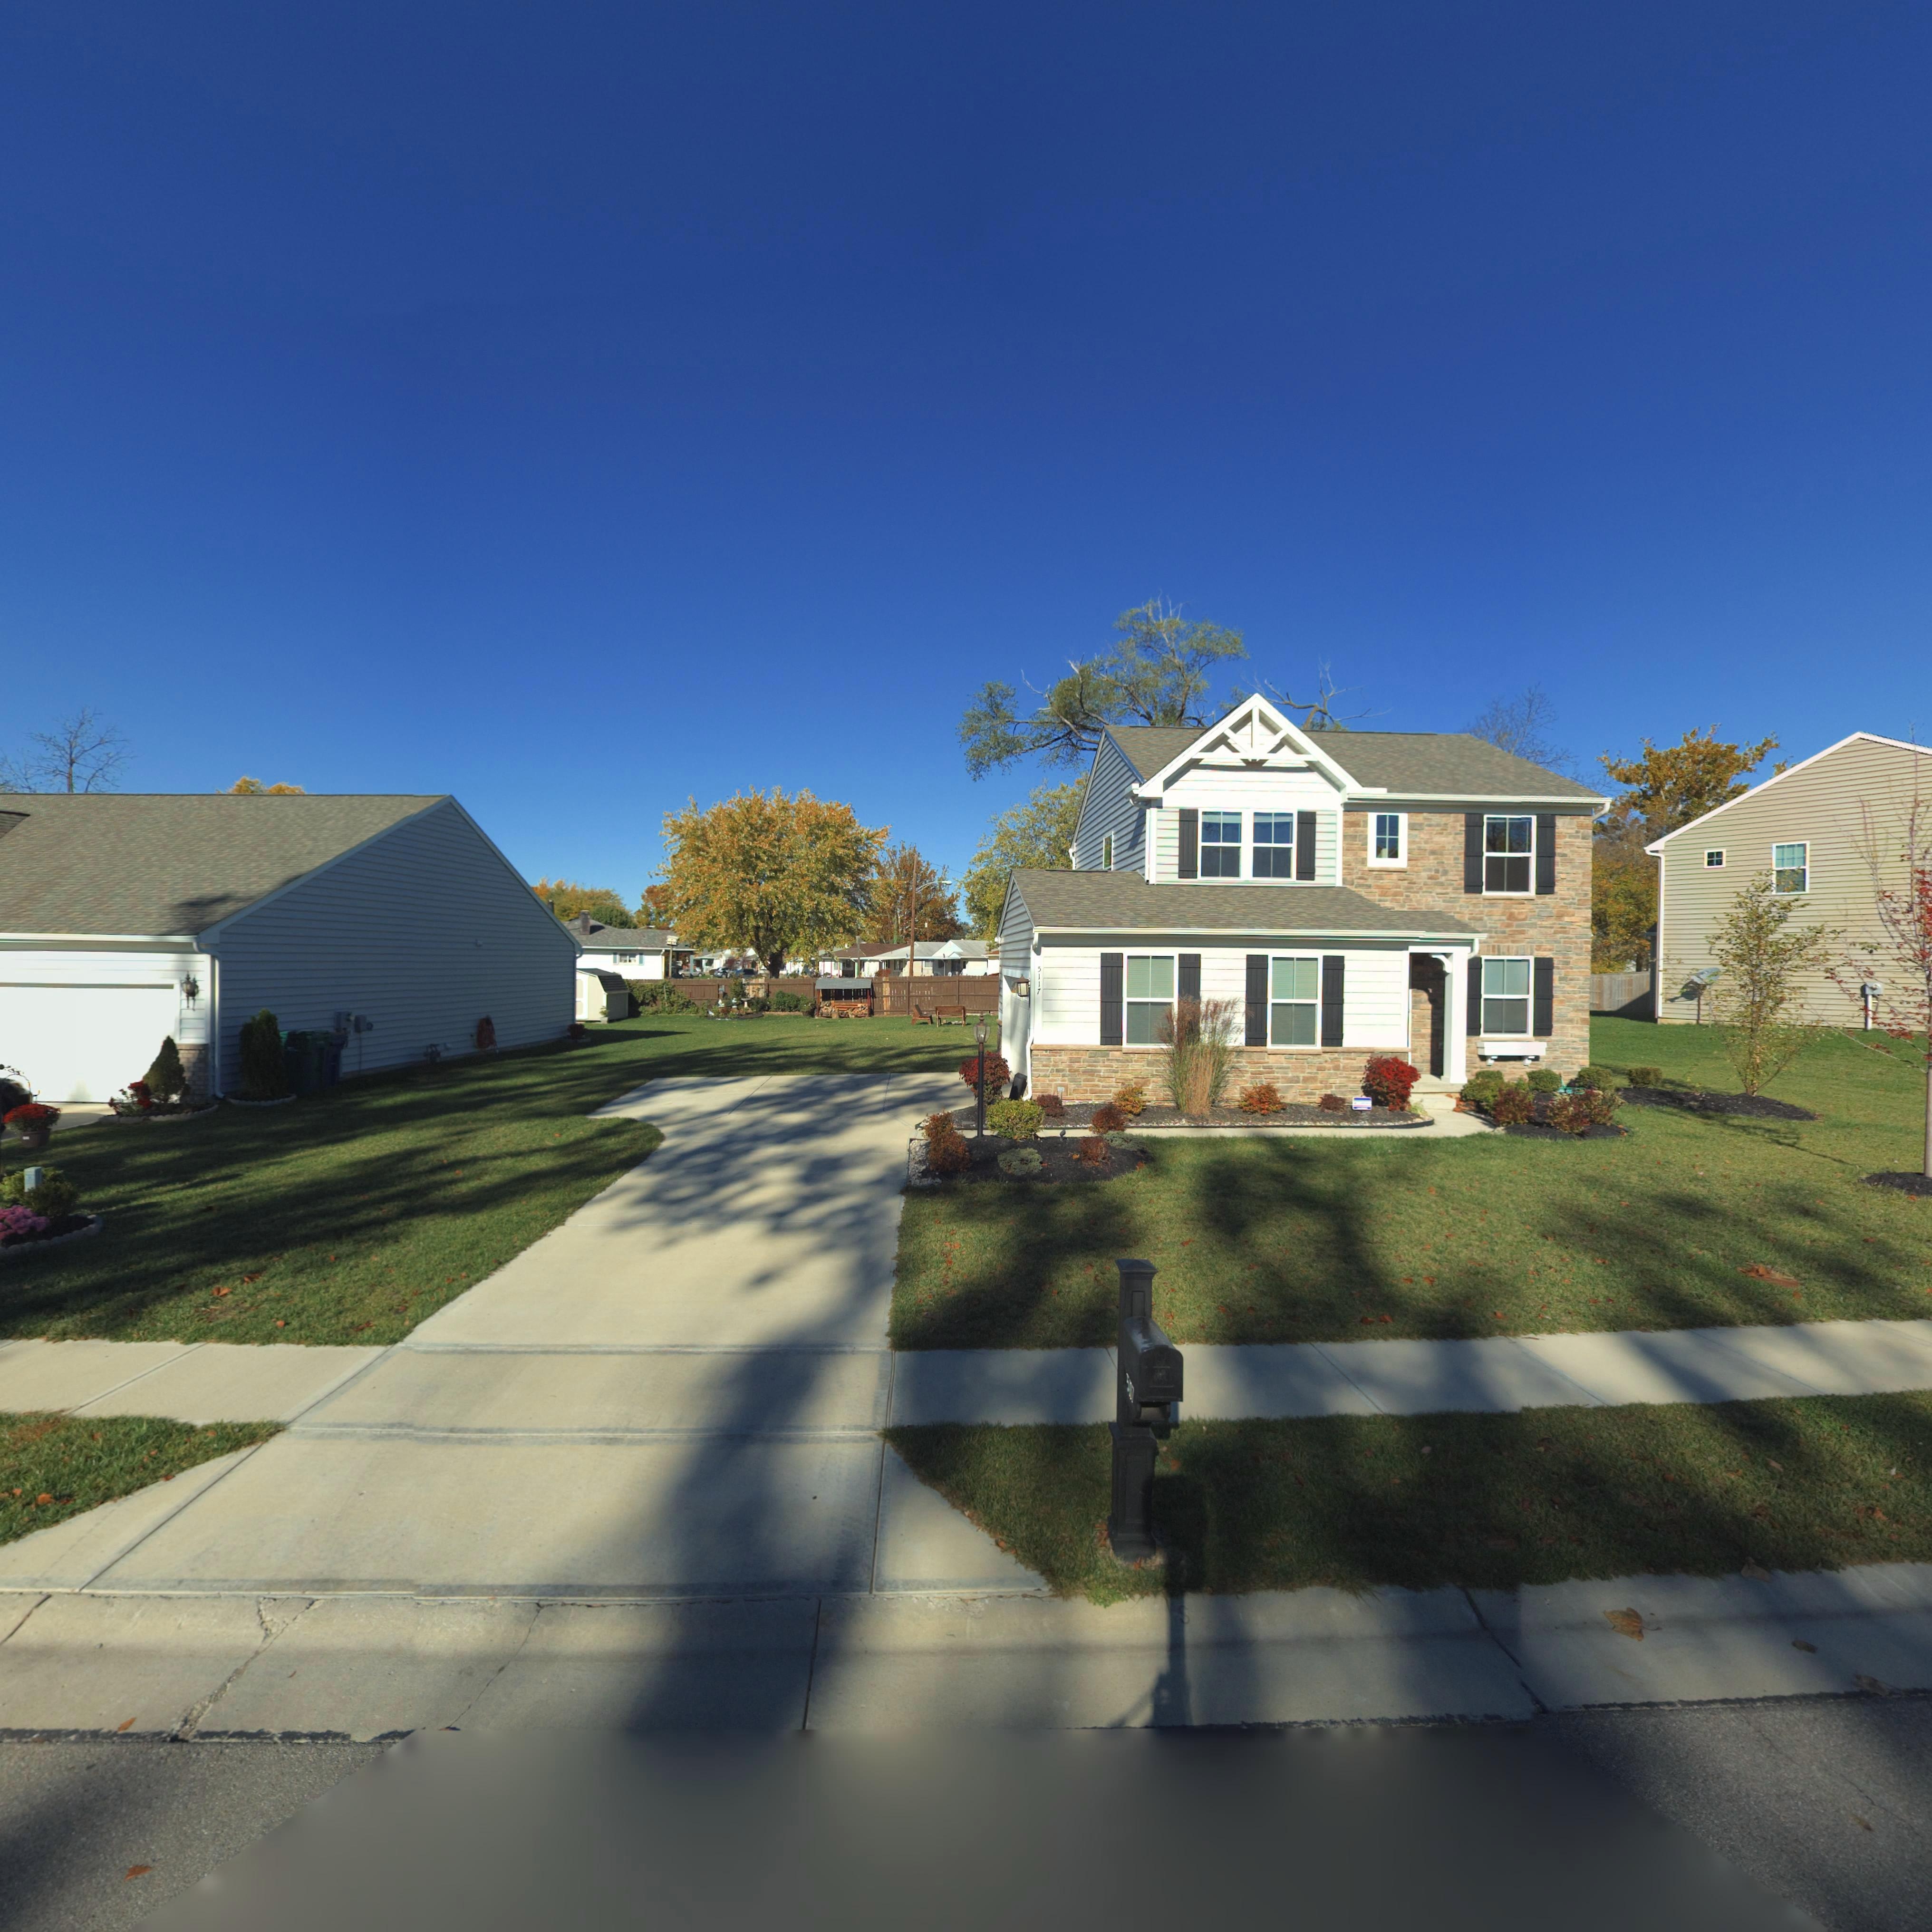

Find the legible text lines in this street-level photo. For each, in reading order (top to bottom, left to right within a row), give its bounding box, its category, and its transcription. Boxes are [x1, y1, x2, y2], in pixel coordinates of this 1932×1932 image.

[1036, 966, 1042, 995] StreetNumber: 5117
[1126, 1370, 1135, 1405] StreetNumber: 5**1